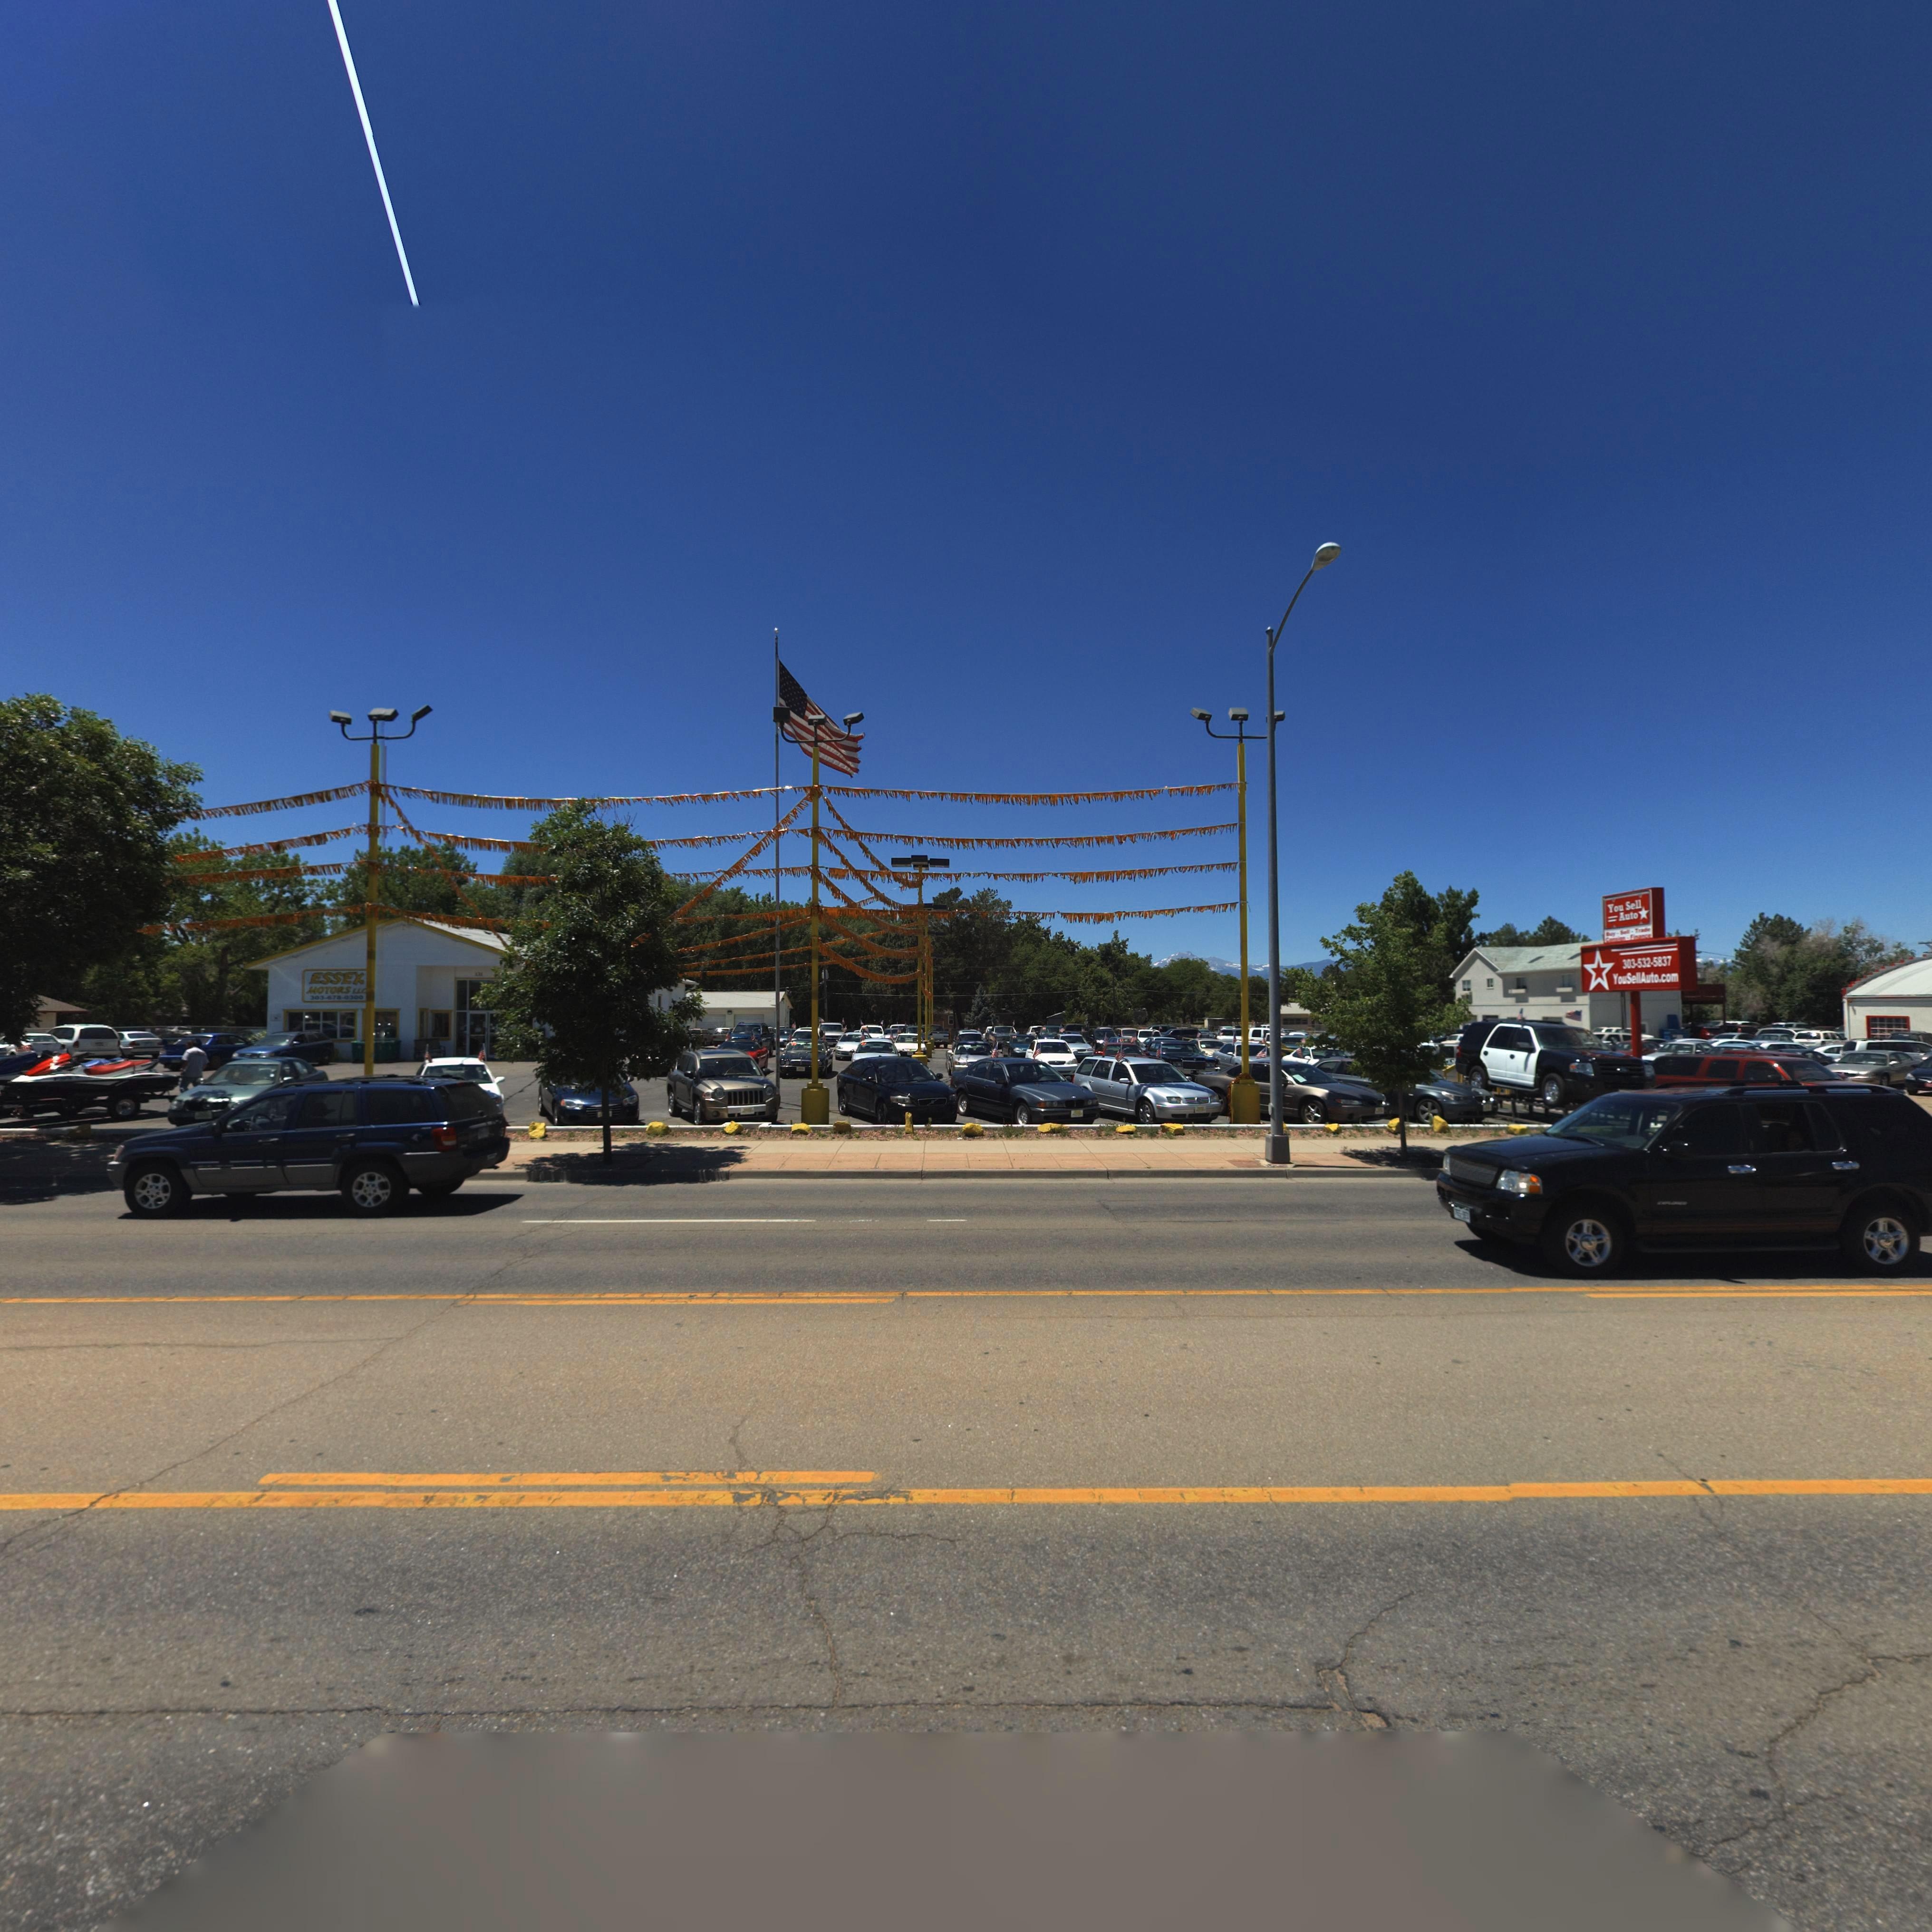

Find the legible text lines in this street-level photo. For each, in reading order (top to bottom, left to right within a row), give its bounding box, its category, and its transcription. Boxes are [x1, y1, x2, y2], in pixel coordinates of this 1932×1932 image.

[1607, 898, 1642, 913] BusinessName: You SeLL
[1618, 911, 1639, 921] BusinessName: Auto
[309, 971, 365, 985] BusinessName: ESSEX
[474, 971, 483, 977] StreetNumber: 13*
[306, 985, 367, 994] BusinessName: MOTORS LLC